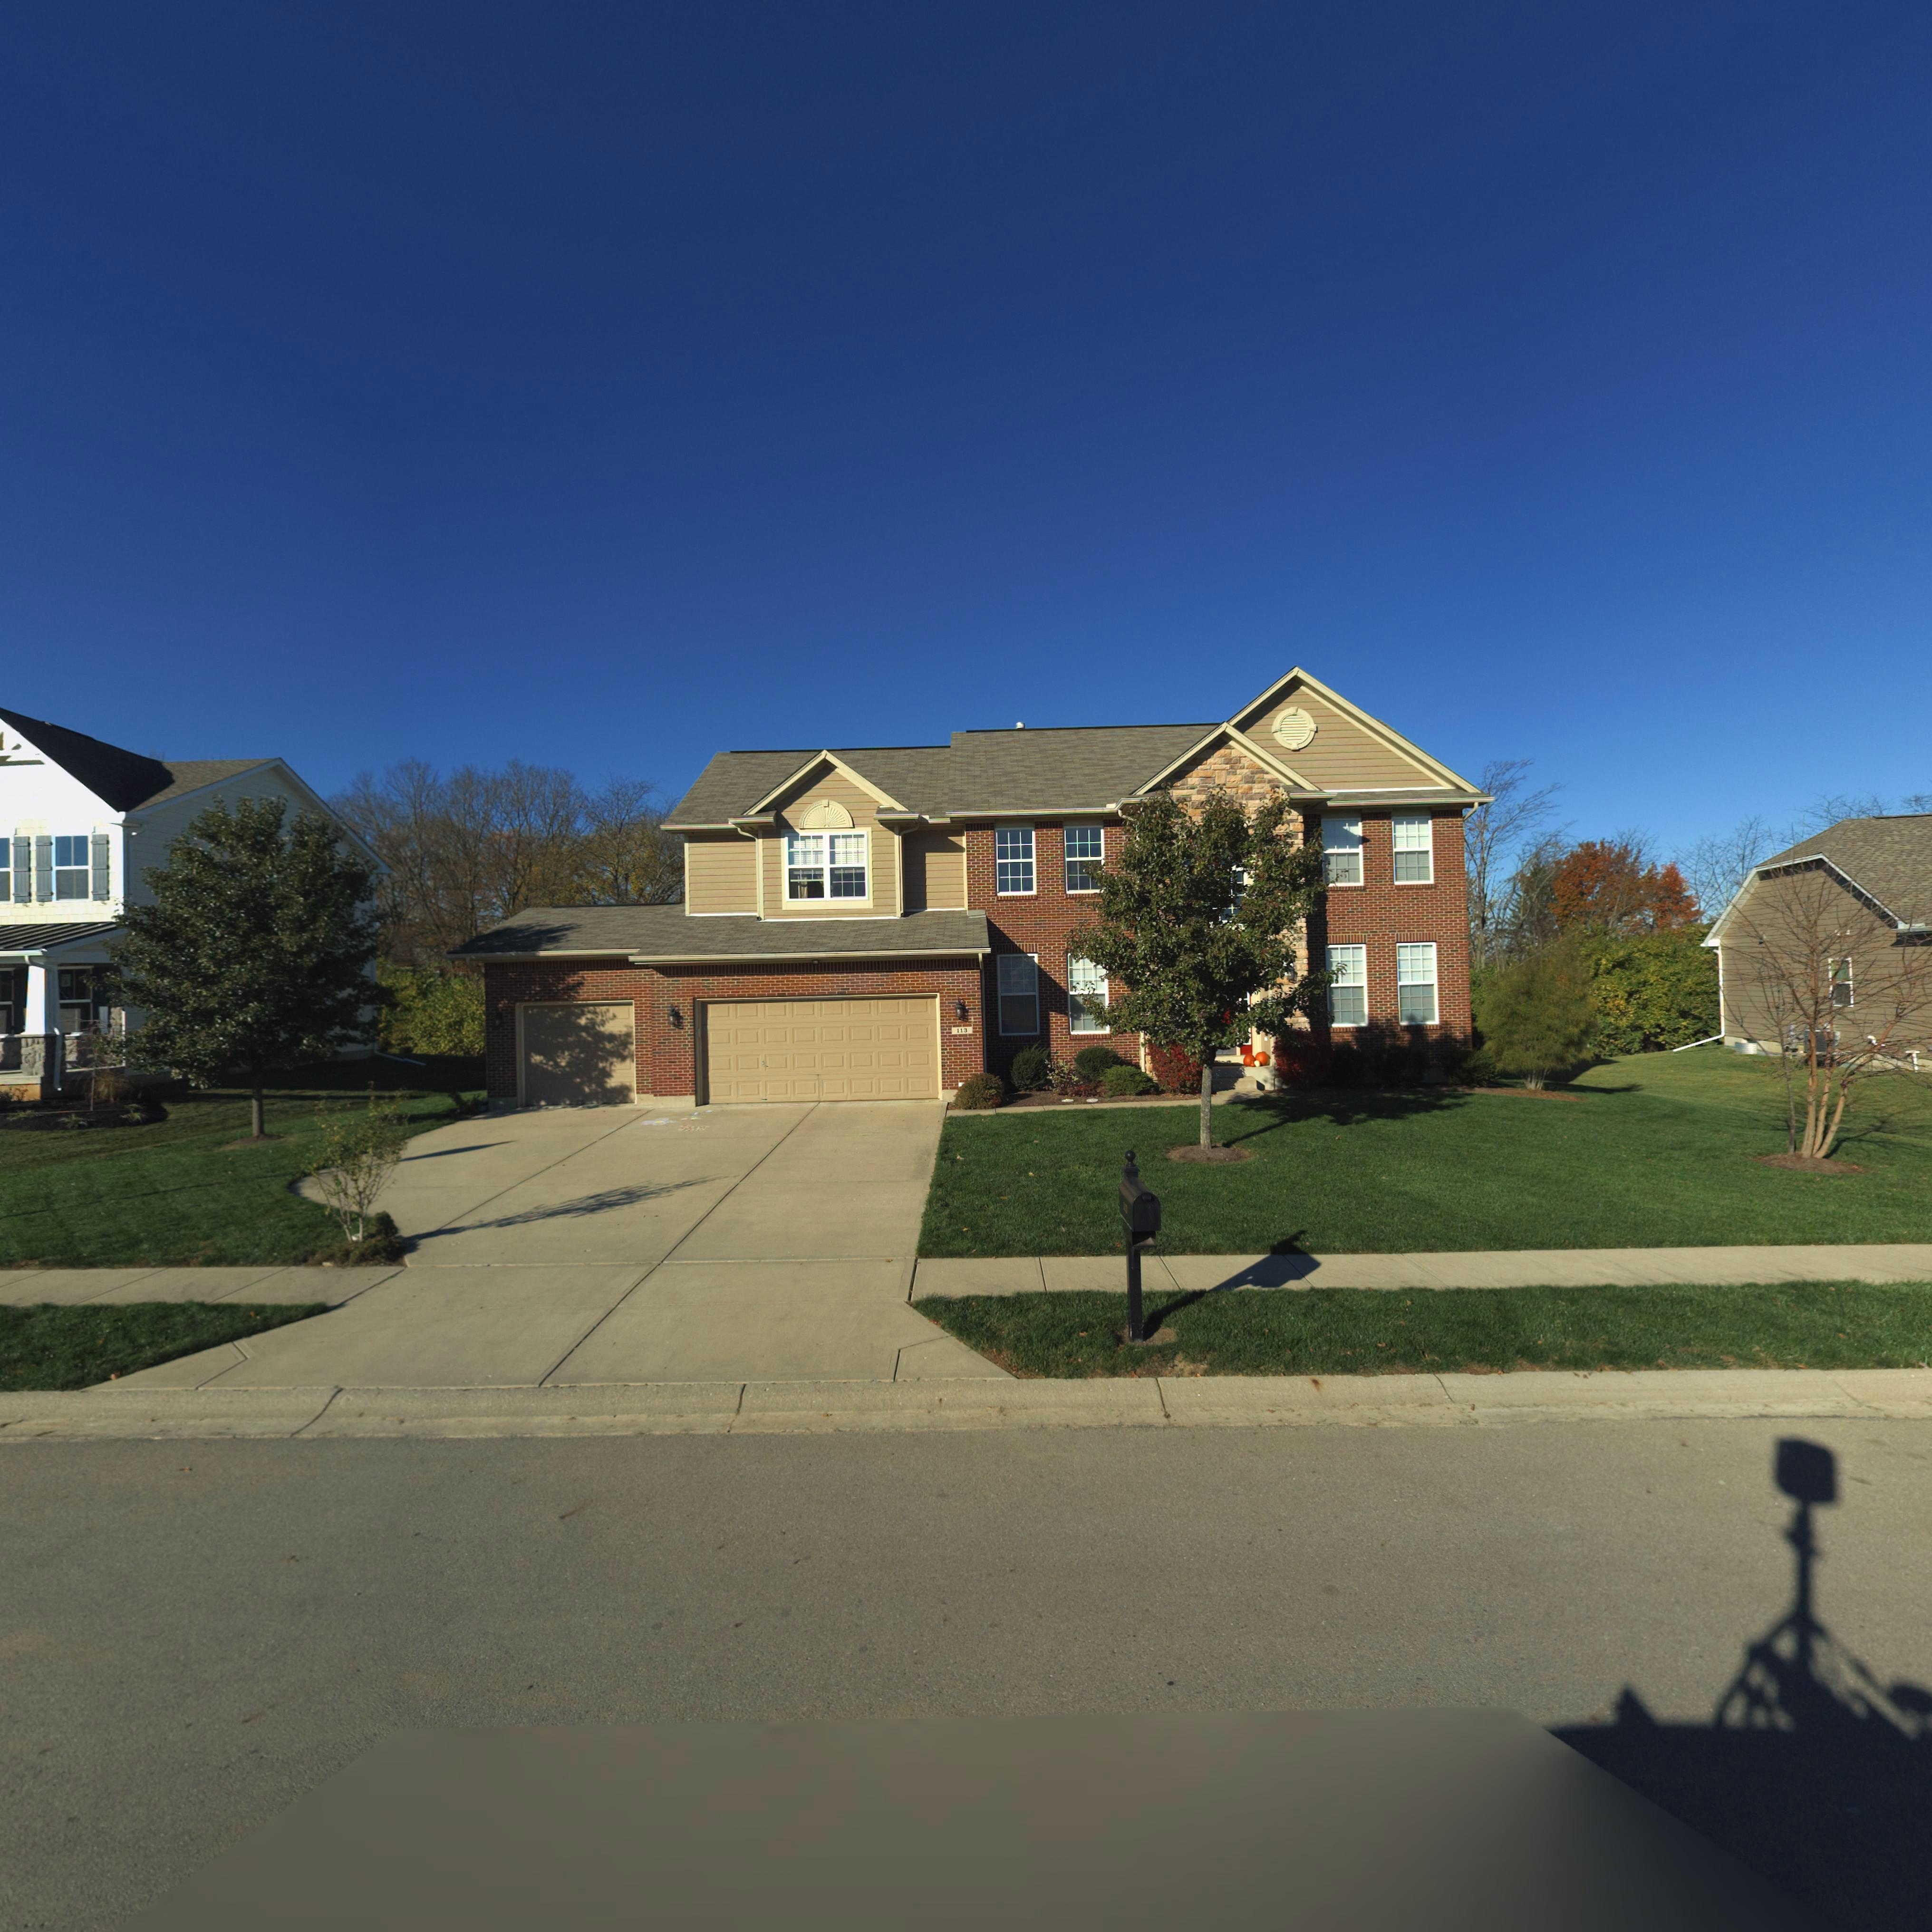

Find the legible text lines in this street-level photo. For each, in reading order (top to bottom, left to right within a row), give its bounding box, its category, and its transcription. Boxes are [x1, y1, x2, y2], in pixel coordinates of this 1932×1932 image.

[956, 1027, 967, 1033] StreetNumber: 113